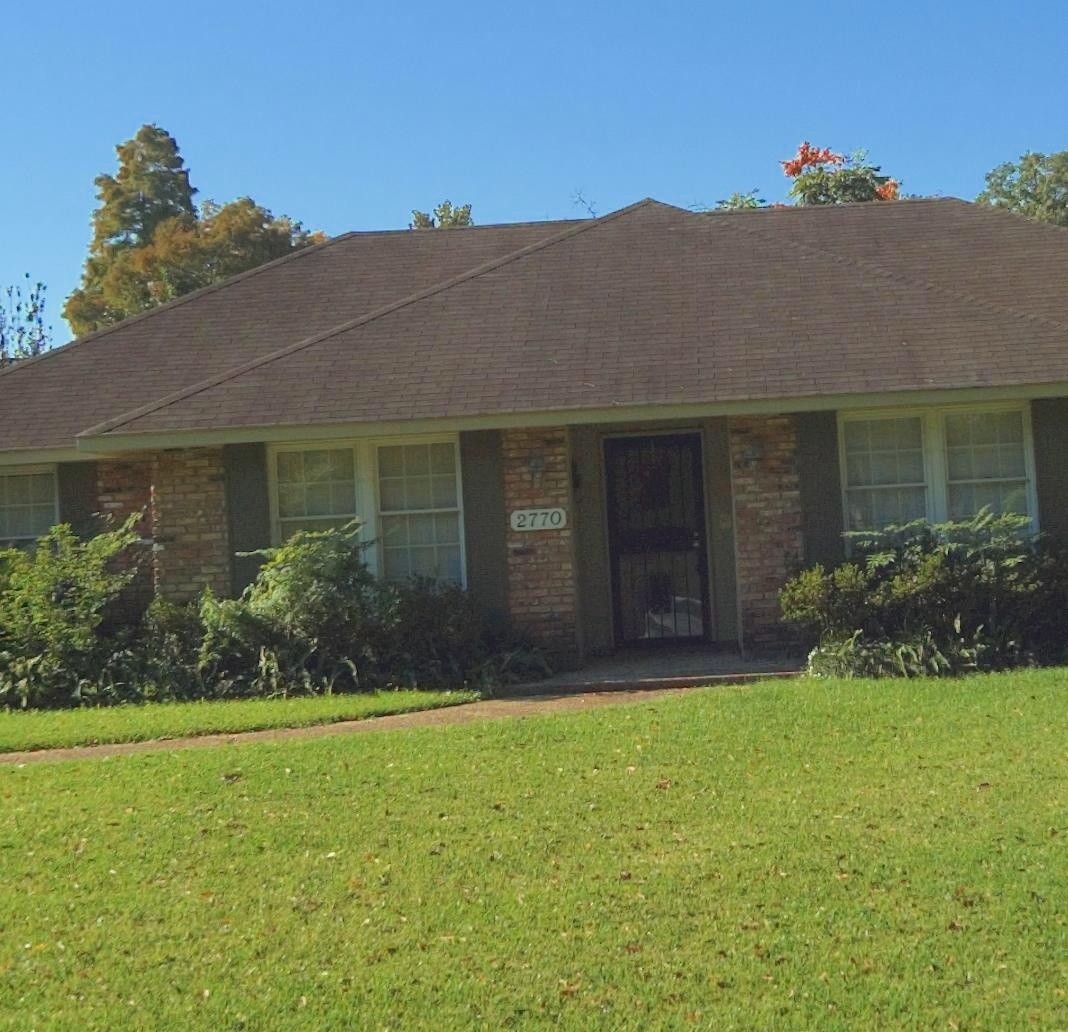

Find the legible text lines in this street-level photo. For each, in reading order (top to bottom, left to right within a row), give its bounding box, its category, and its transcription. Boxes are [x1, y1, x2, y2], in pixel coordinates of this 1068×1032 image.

[515, 509, 563, 529] StreetNumber: 2770